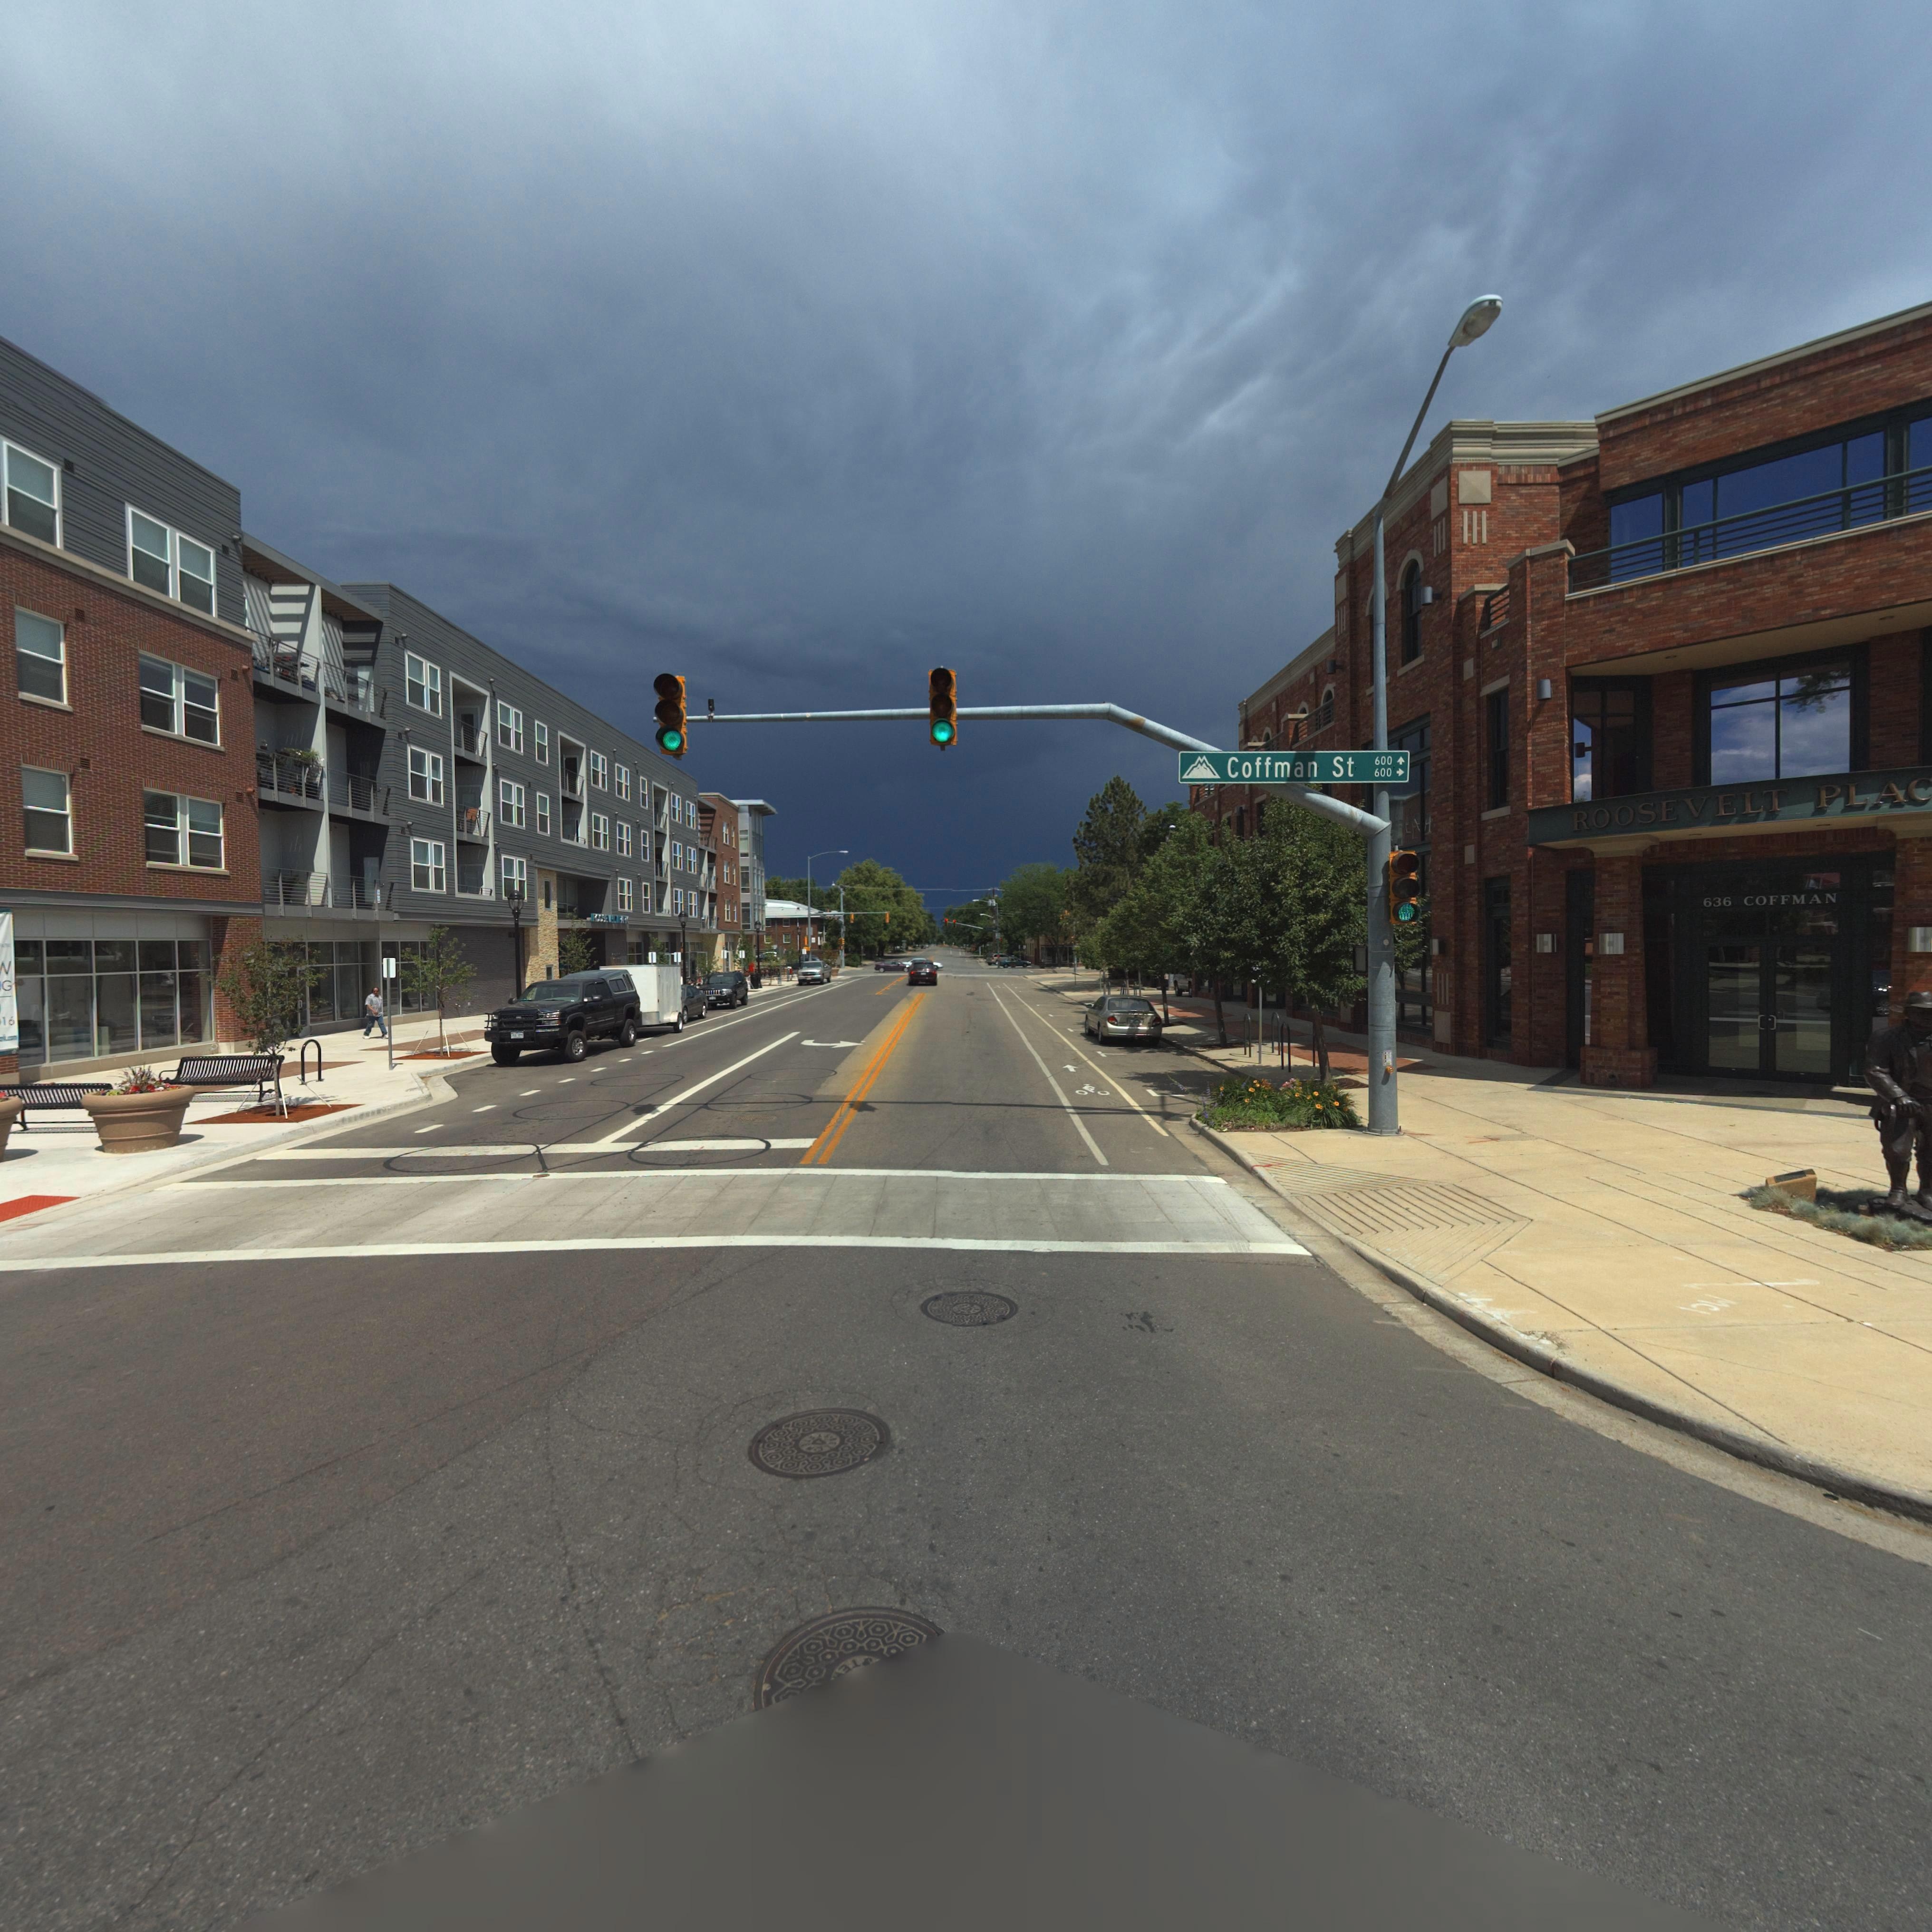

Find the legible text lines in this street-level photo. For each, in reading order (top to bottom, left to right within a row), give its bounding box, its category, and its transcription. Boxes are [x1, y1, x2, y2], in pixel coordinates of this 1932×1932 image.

[1374, 755, 1392, 765] StreetNumberRange: 600
[1227, 755, 1354, 779] StreetName: Coffman St
[1374, 767, 1405, 777] StreetNumberRange: 600 ->
[1702, 896, 1732, 908] StreetNumber: 636
[1743, 892, 1837, 906] StreetName: COFFMAN
[590, 913, 629, 924] BusinessName: ROOSEVELT ****